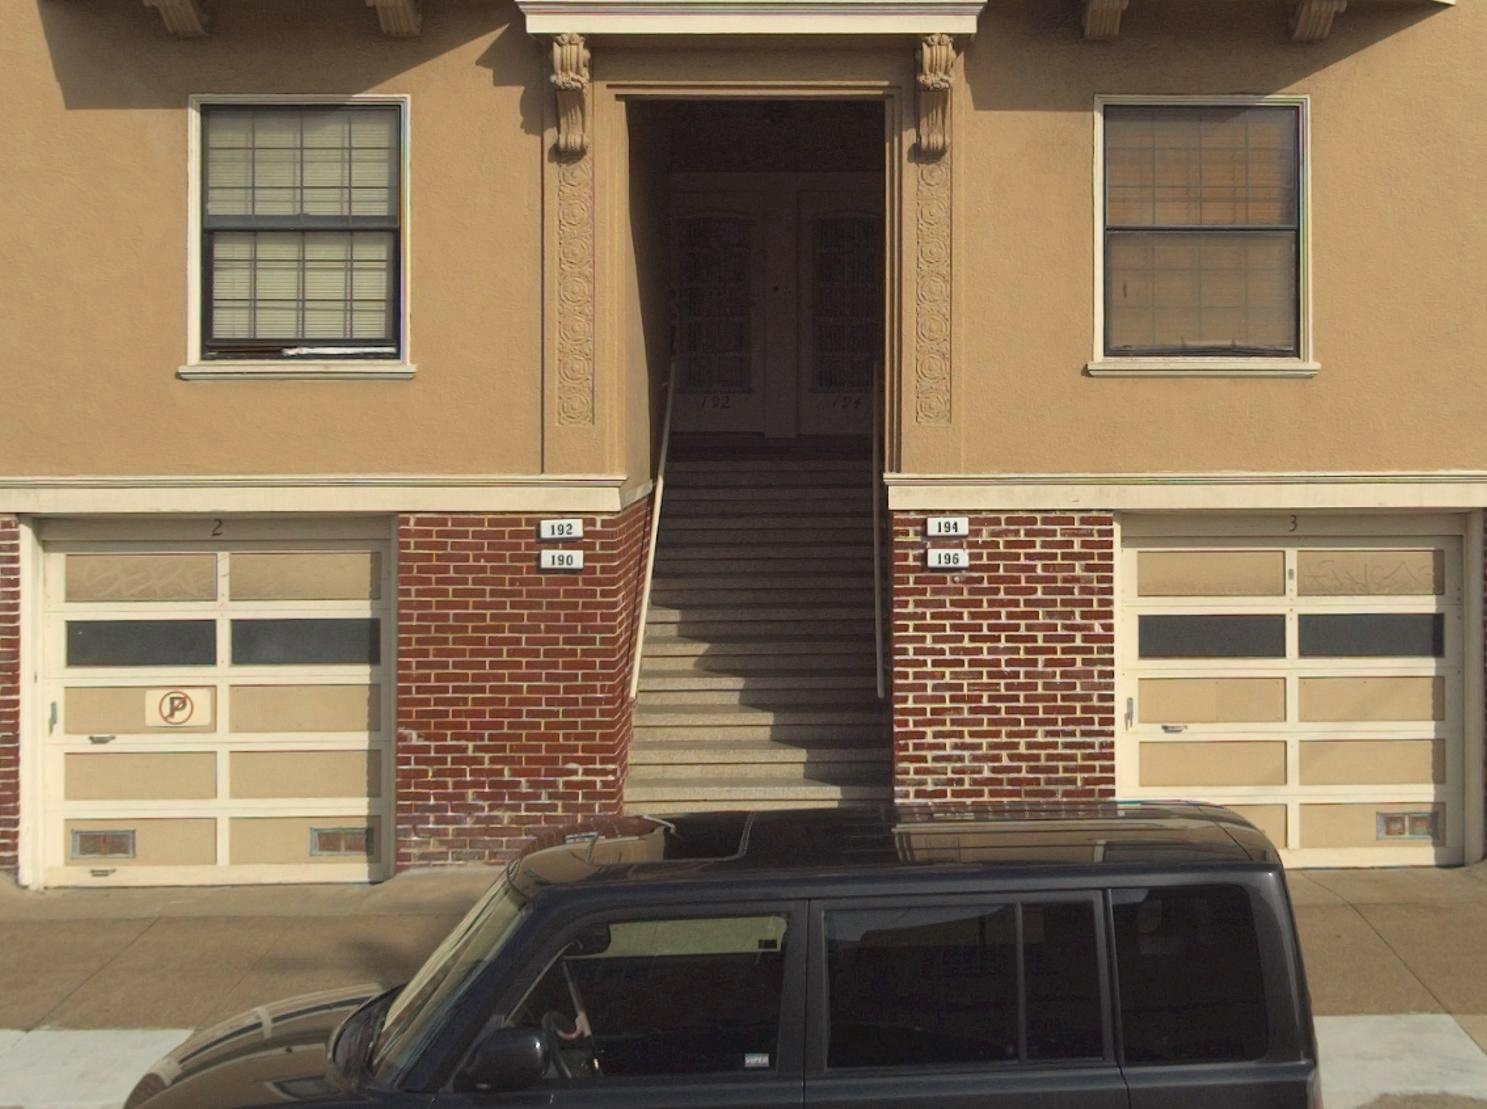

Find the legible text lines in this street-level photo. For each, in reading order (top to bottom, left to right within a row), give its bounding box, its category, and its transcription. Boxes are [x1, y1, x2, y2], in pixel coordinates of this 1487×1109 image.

[700, 394, 732, 410] StreetNumber: 192
[831, 394, 863, 410] StreetNumber: 194
[209, 517, 224, 537] StreetNumber: 2
[549, 522, 574, 537] StreetNumber: 192
[936, 520, 960, 534] StreetNumber: 194
[1287, 513, 1299, 534] StreetNumber: 3
[550, 553, 575, 567] StreetNumber: 190
[936, 551, 961, 566] StreetNumber: 196